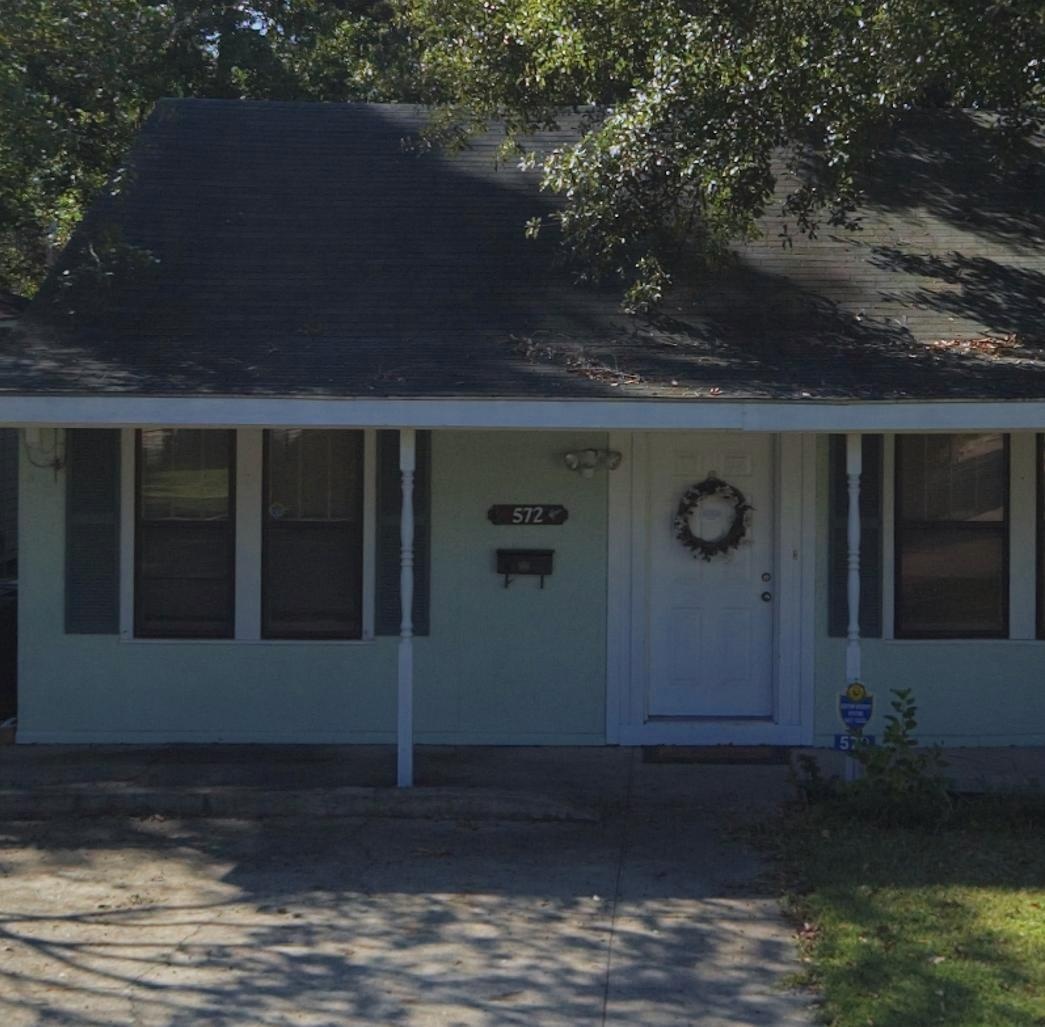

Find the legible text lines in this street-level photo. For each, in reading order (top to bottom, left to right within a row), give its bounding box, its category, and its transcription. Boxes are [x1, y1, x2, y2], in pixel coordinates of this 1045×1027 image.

[511, 506, 544, 524] StreetNumber: 572
[838, 735, 870, 751] StreetNumber: 5**